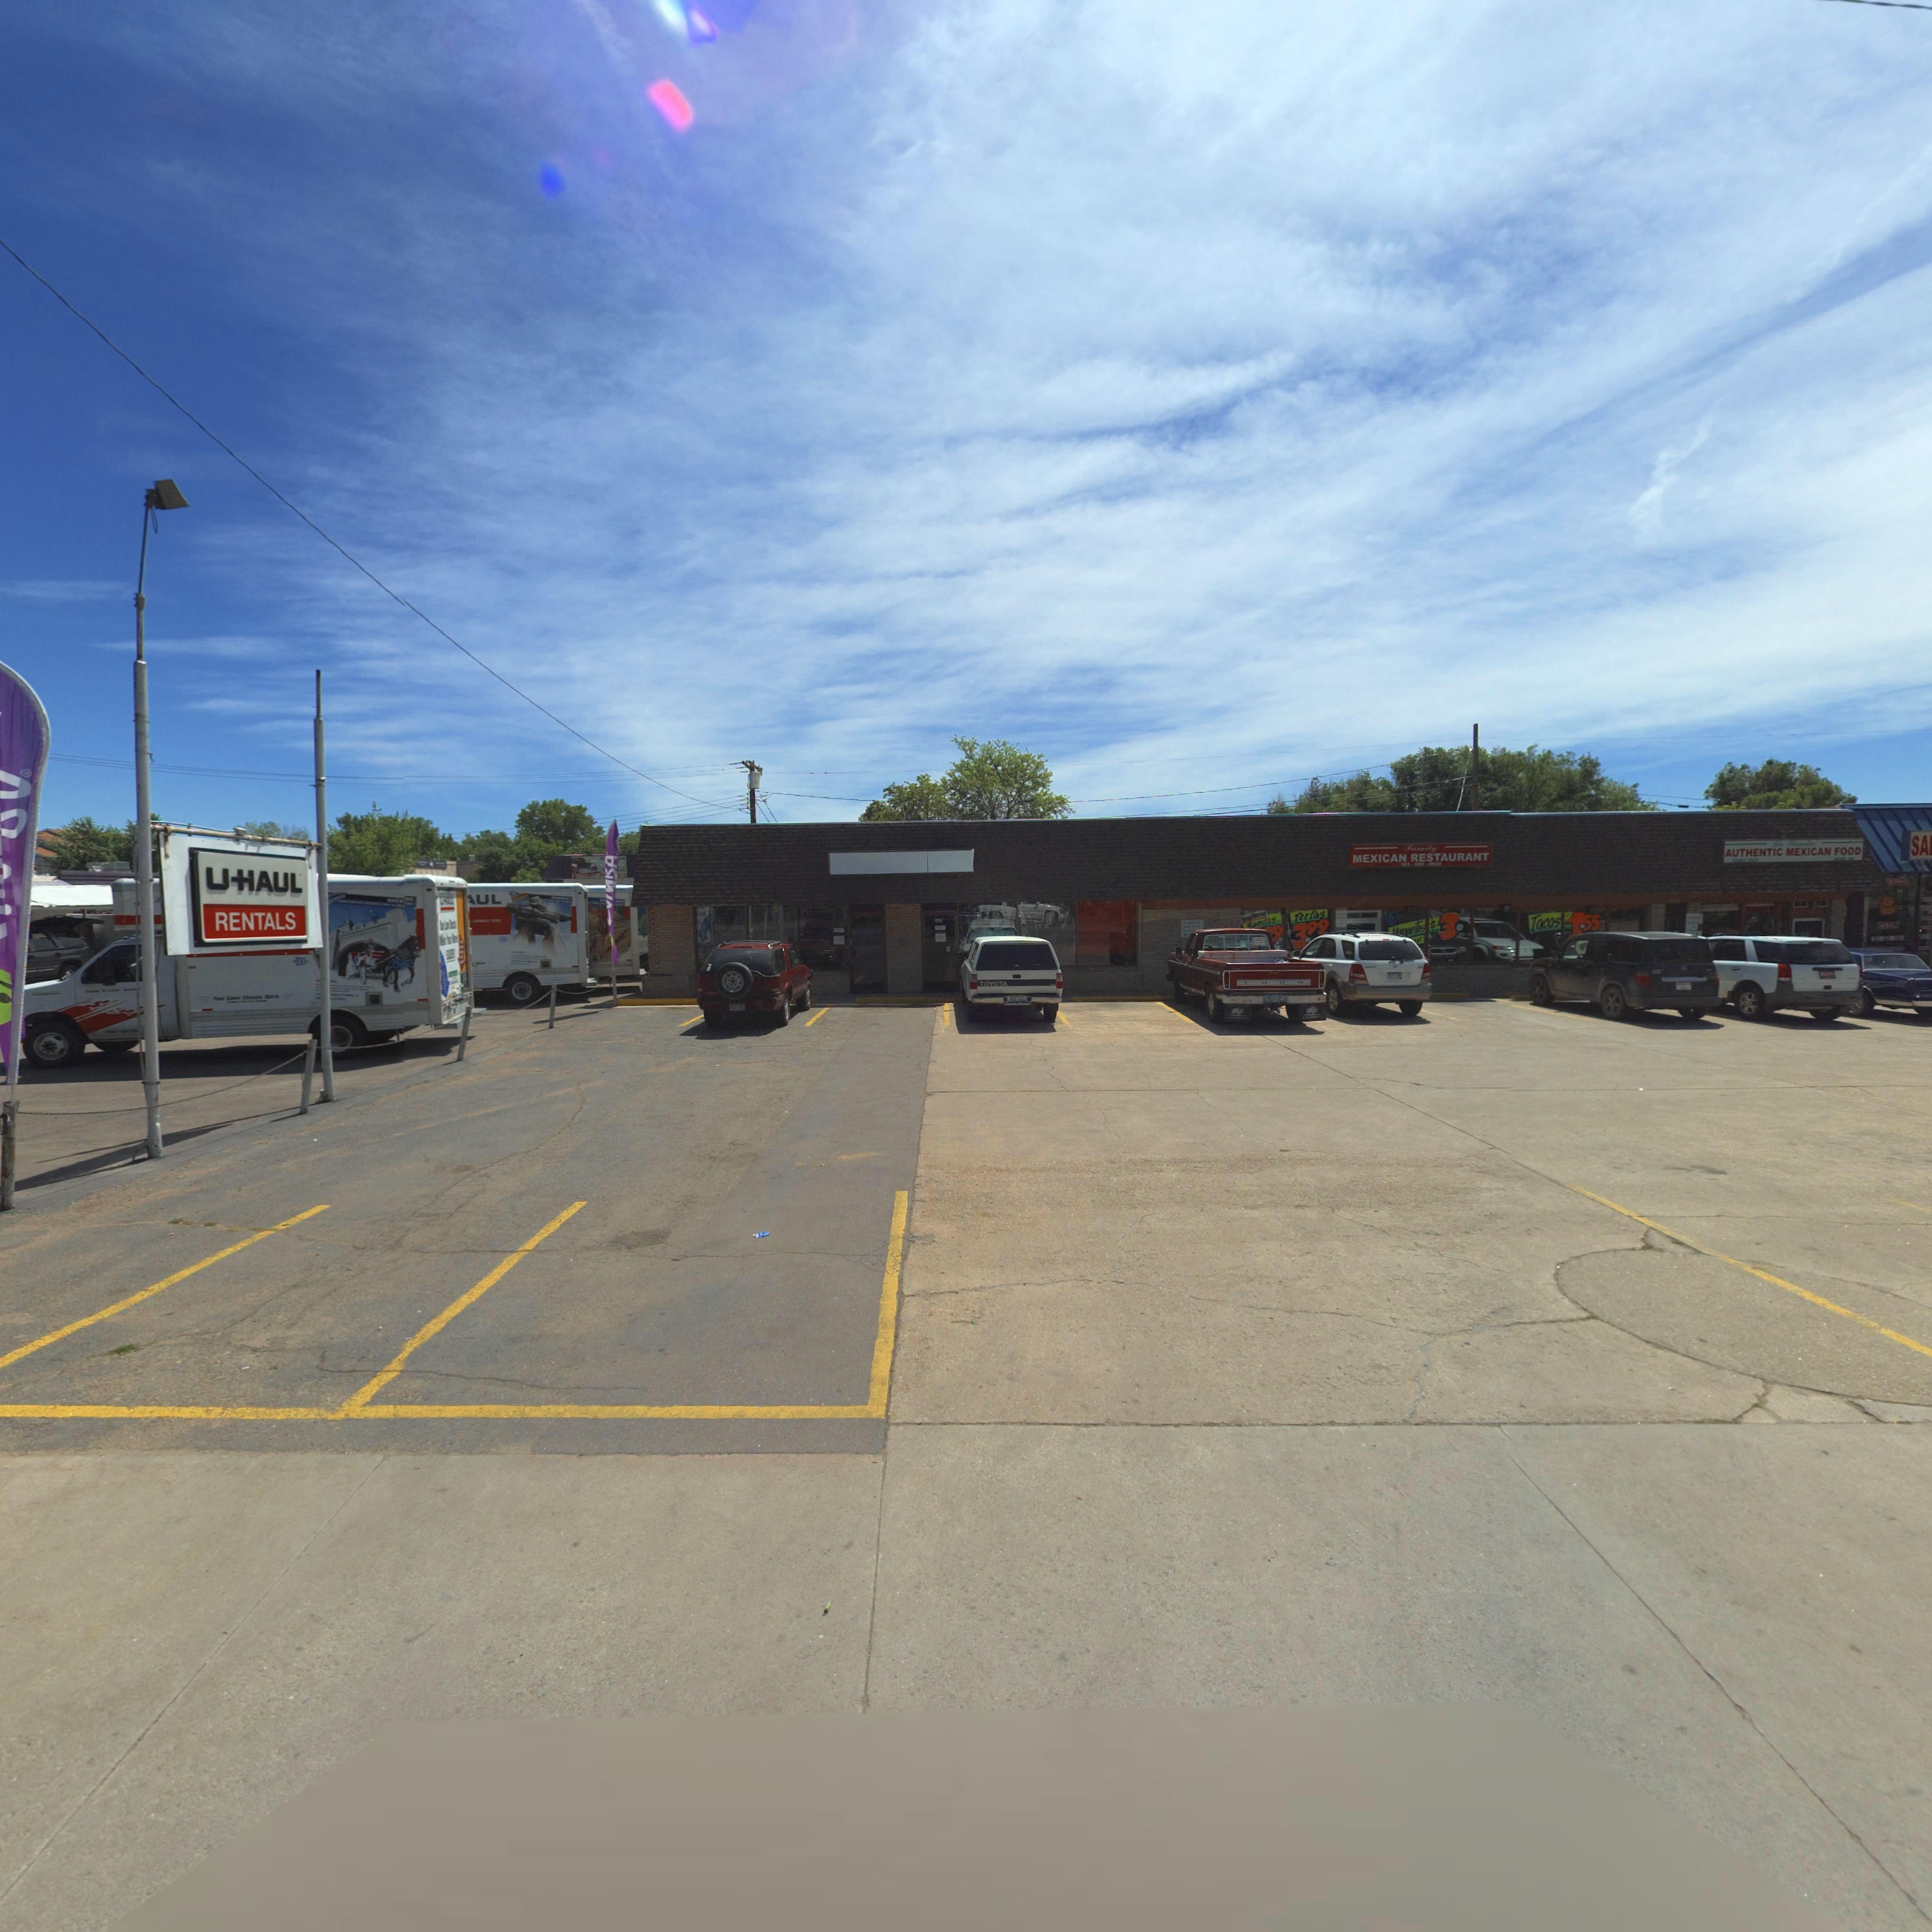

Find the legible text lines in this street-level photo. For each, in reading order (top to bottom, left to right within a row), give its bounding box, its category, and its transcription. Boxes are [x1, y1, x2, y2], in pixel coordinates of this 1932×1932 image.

[1403, 844, 1437, 853] BusinessName: Family
[1352, 851, 1490, 863] BusinessName: MEXICAN RESTAURANT
[1724, 846, 1862, 857] BusinessName: AUTHENTIC MEXICAN FOOD
[1772, 840, 1815, 847] BusinessName: *a *****
[1911, 835, 1929, 856] BusinessName: SA
[205, 866, 303, 894] BusinessName: U -HAUL
[214, 911, 296, 931] BusinessName: RENTALS